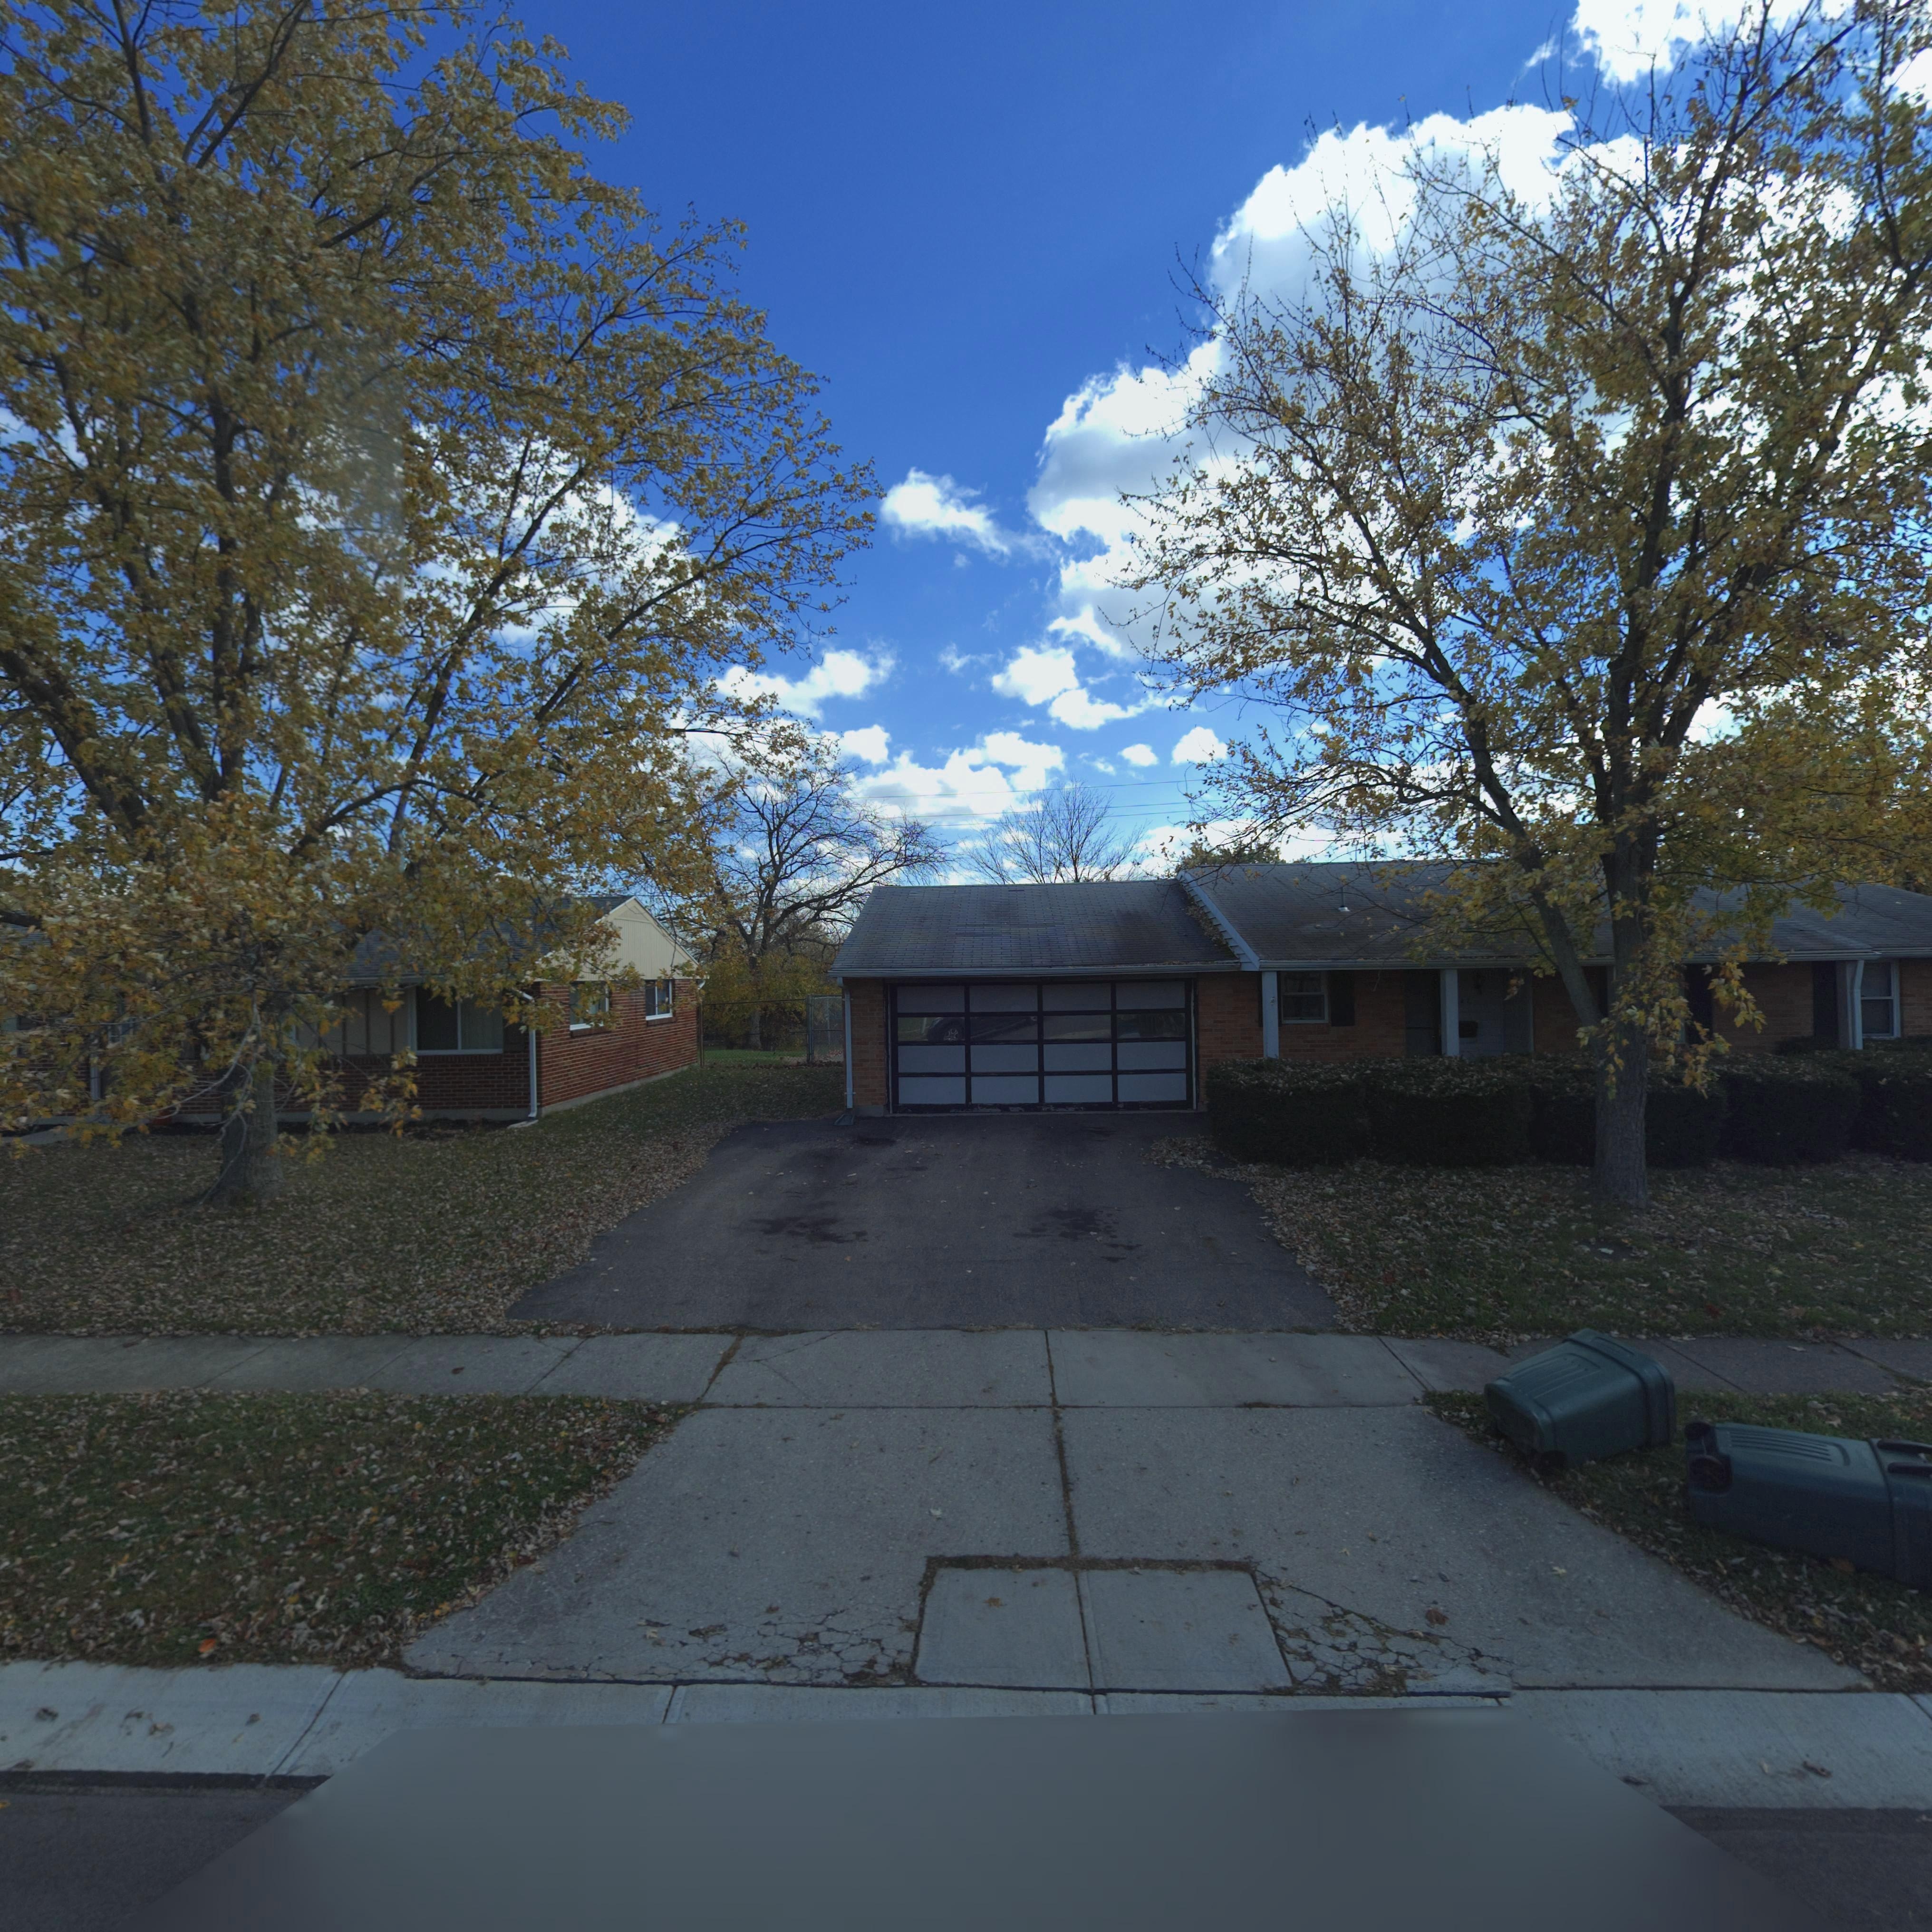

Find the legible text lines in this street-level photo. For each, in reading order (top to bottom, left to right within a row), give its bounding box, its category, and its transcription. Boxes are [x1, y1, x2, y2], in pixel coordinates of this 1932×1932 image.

[1459, 997, 1470, 1004] StreetNumber: *7